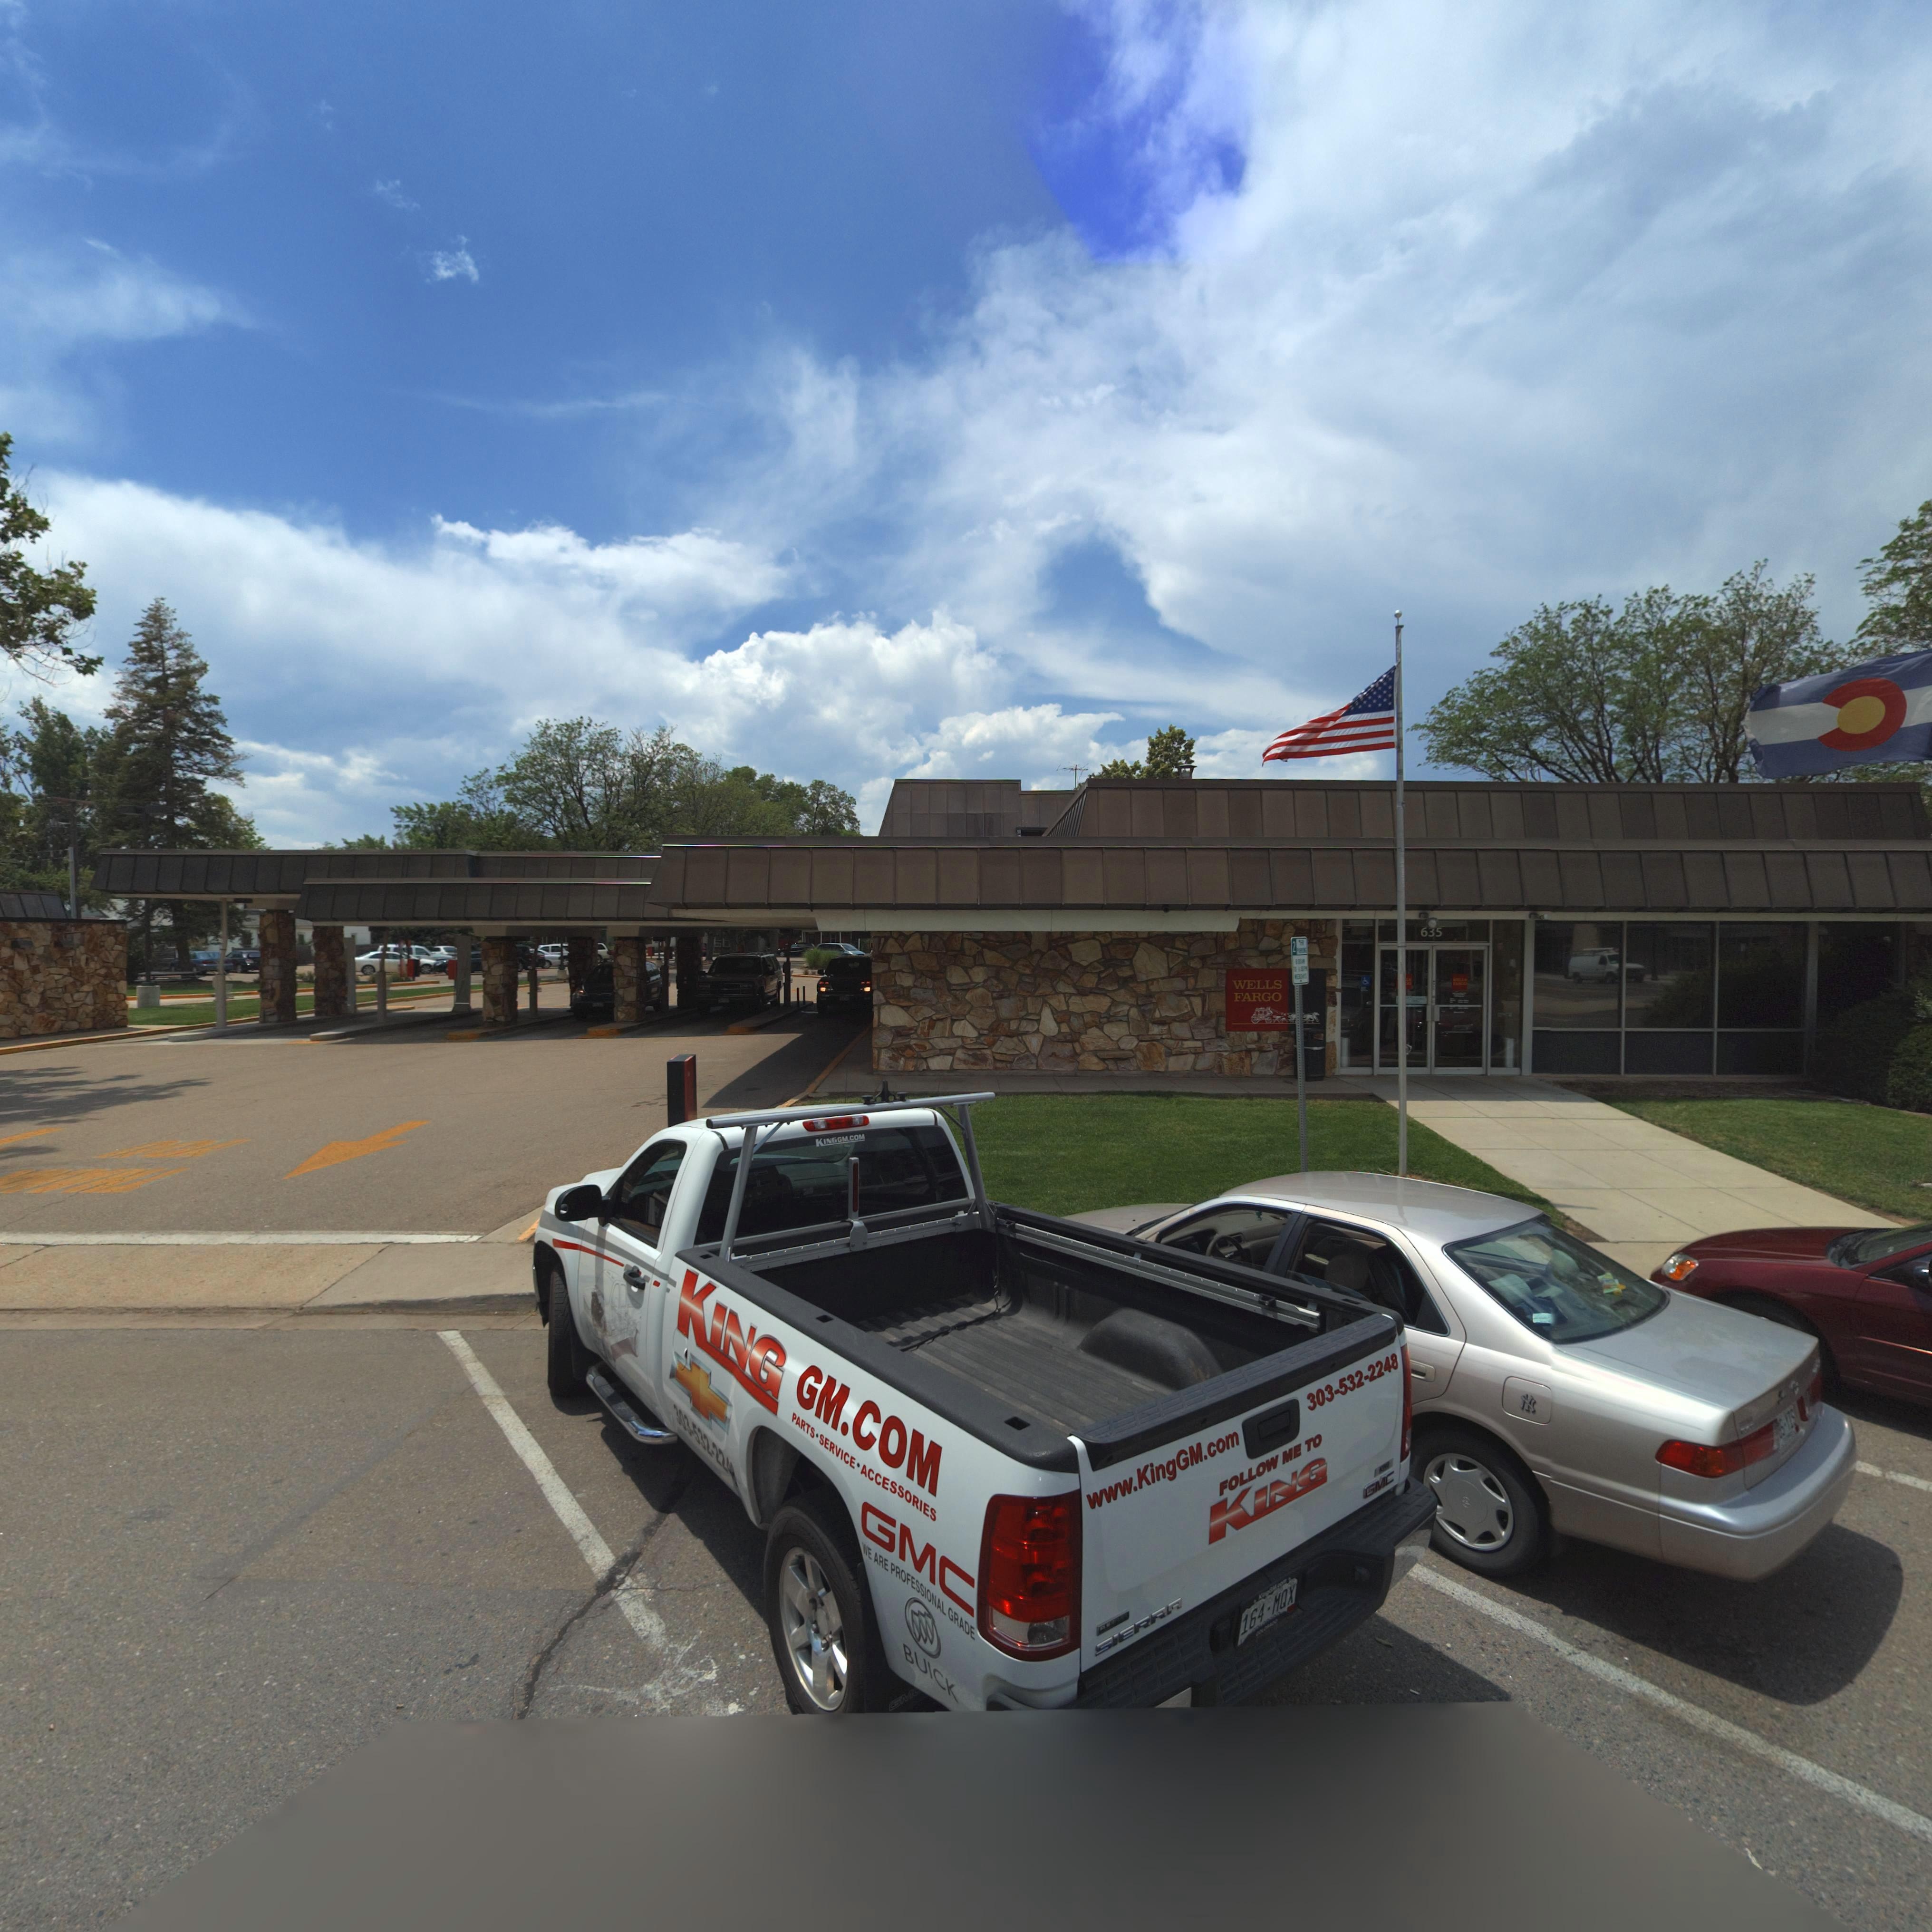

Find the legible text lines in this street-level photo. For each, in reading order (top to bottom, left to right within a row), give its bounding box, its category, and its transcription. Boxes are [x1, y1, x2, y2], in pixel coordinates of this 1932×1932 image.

[1420, 927, 1443, 937] StreetNumber: 635
[1406, 977, 1411, 981] BusinessName: LS
[1452, 978, 1467, 981] BusinessName: **LL*
[1232, 979, 1283, 990] BusinessName: WELLS
[1408, 982, 1411, 985] BusinessName: O
[1452, 982, 1467, 985] BusinessName: *A***
[1233, 992, 1282, 1003] BusinessName: FARGO